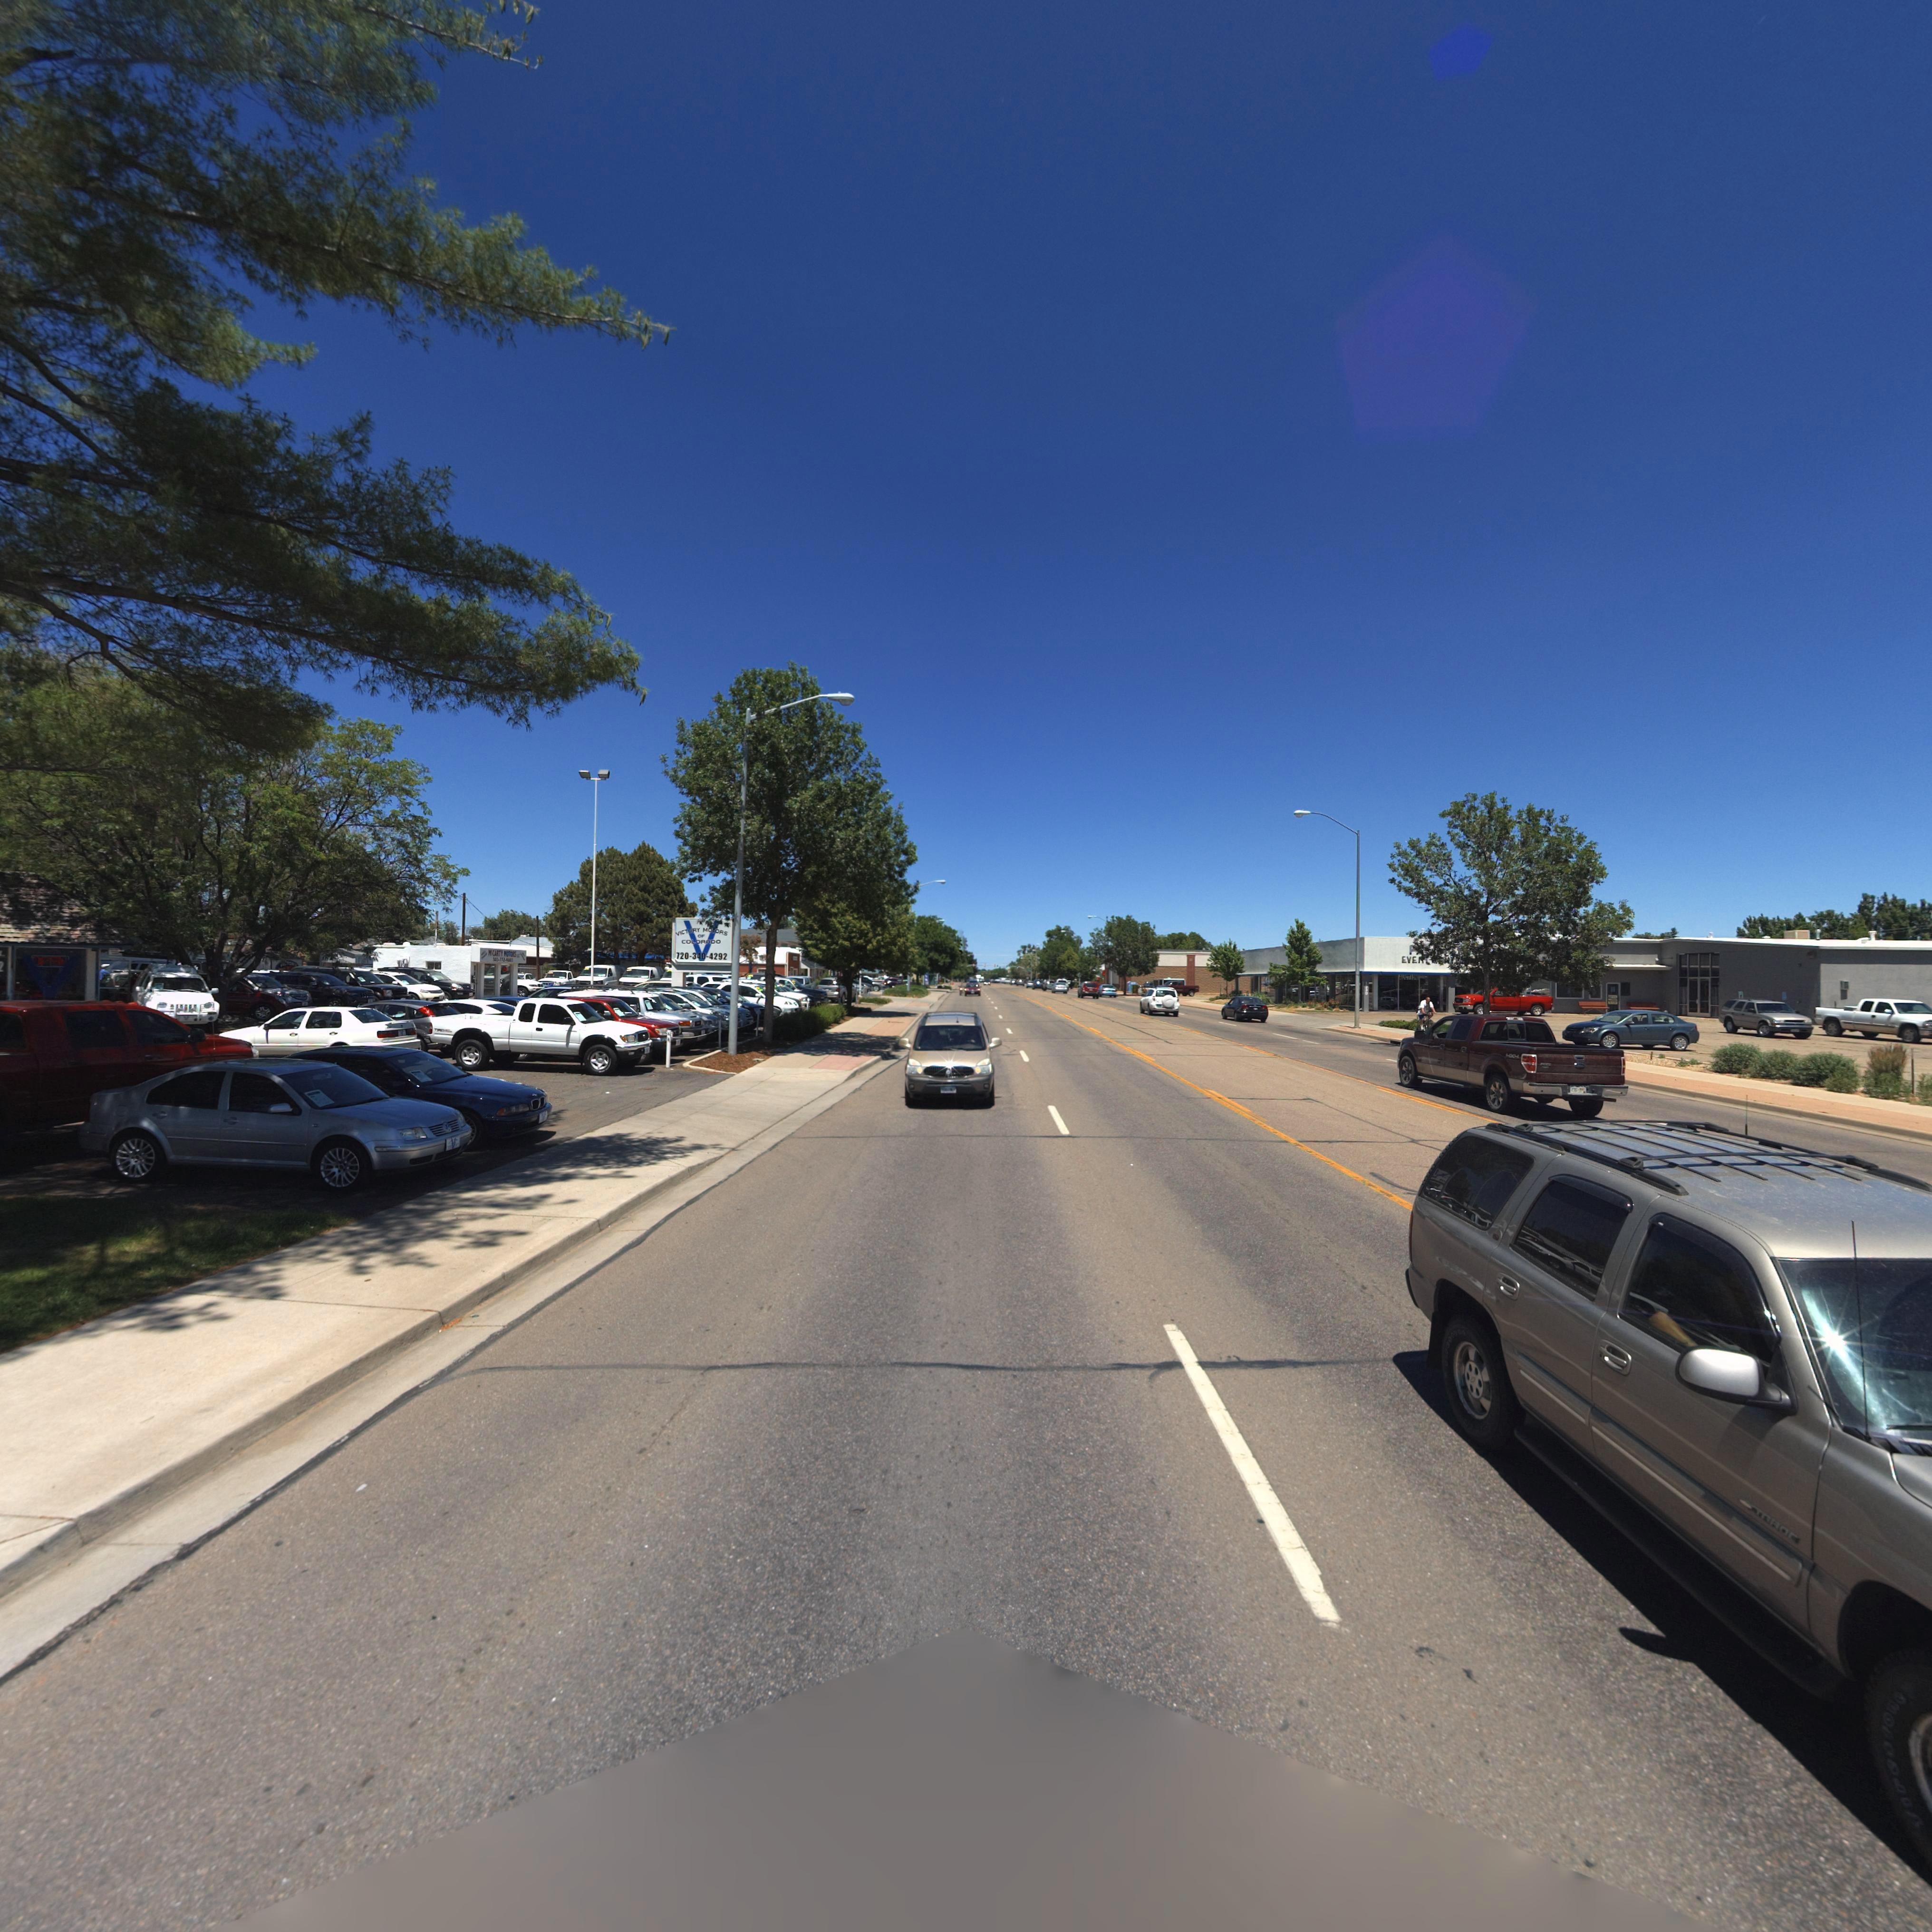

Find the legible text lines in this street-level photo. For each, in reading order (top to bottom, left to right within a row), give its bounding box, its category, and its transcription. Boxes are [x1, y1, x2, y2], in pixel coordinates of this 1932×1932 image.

[675, 927, 729, 937] BusinessName: VICTORY MOTORS
[488, 949, 517, 957] BusinessName: McCARTY MOTORS
[1408, 944, 1418, 955] BusinessName: P
[1401, 955, 1461, 964] BusinessName: EVE** ** 
[1362, 981, 1363, 995] StreetNumber: 1330
[1364, 981, 1368, 995] StreetNumber: 1**0